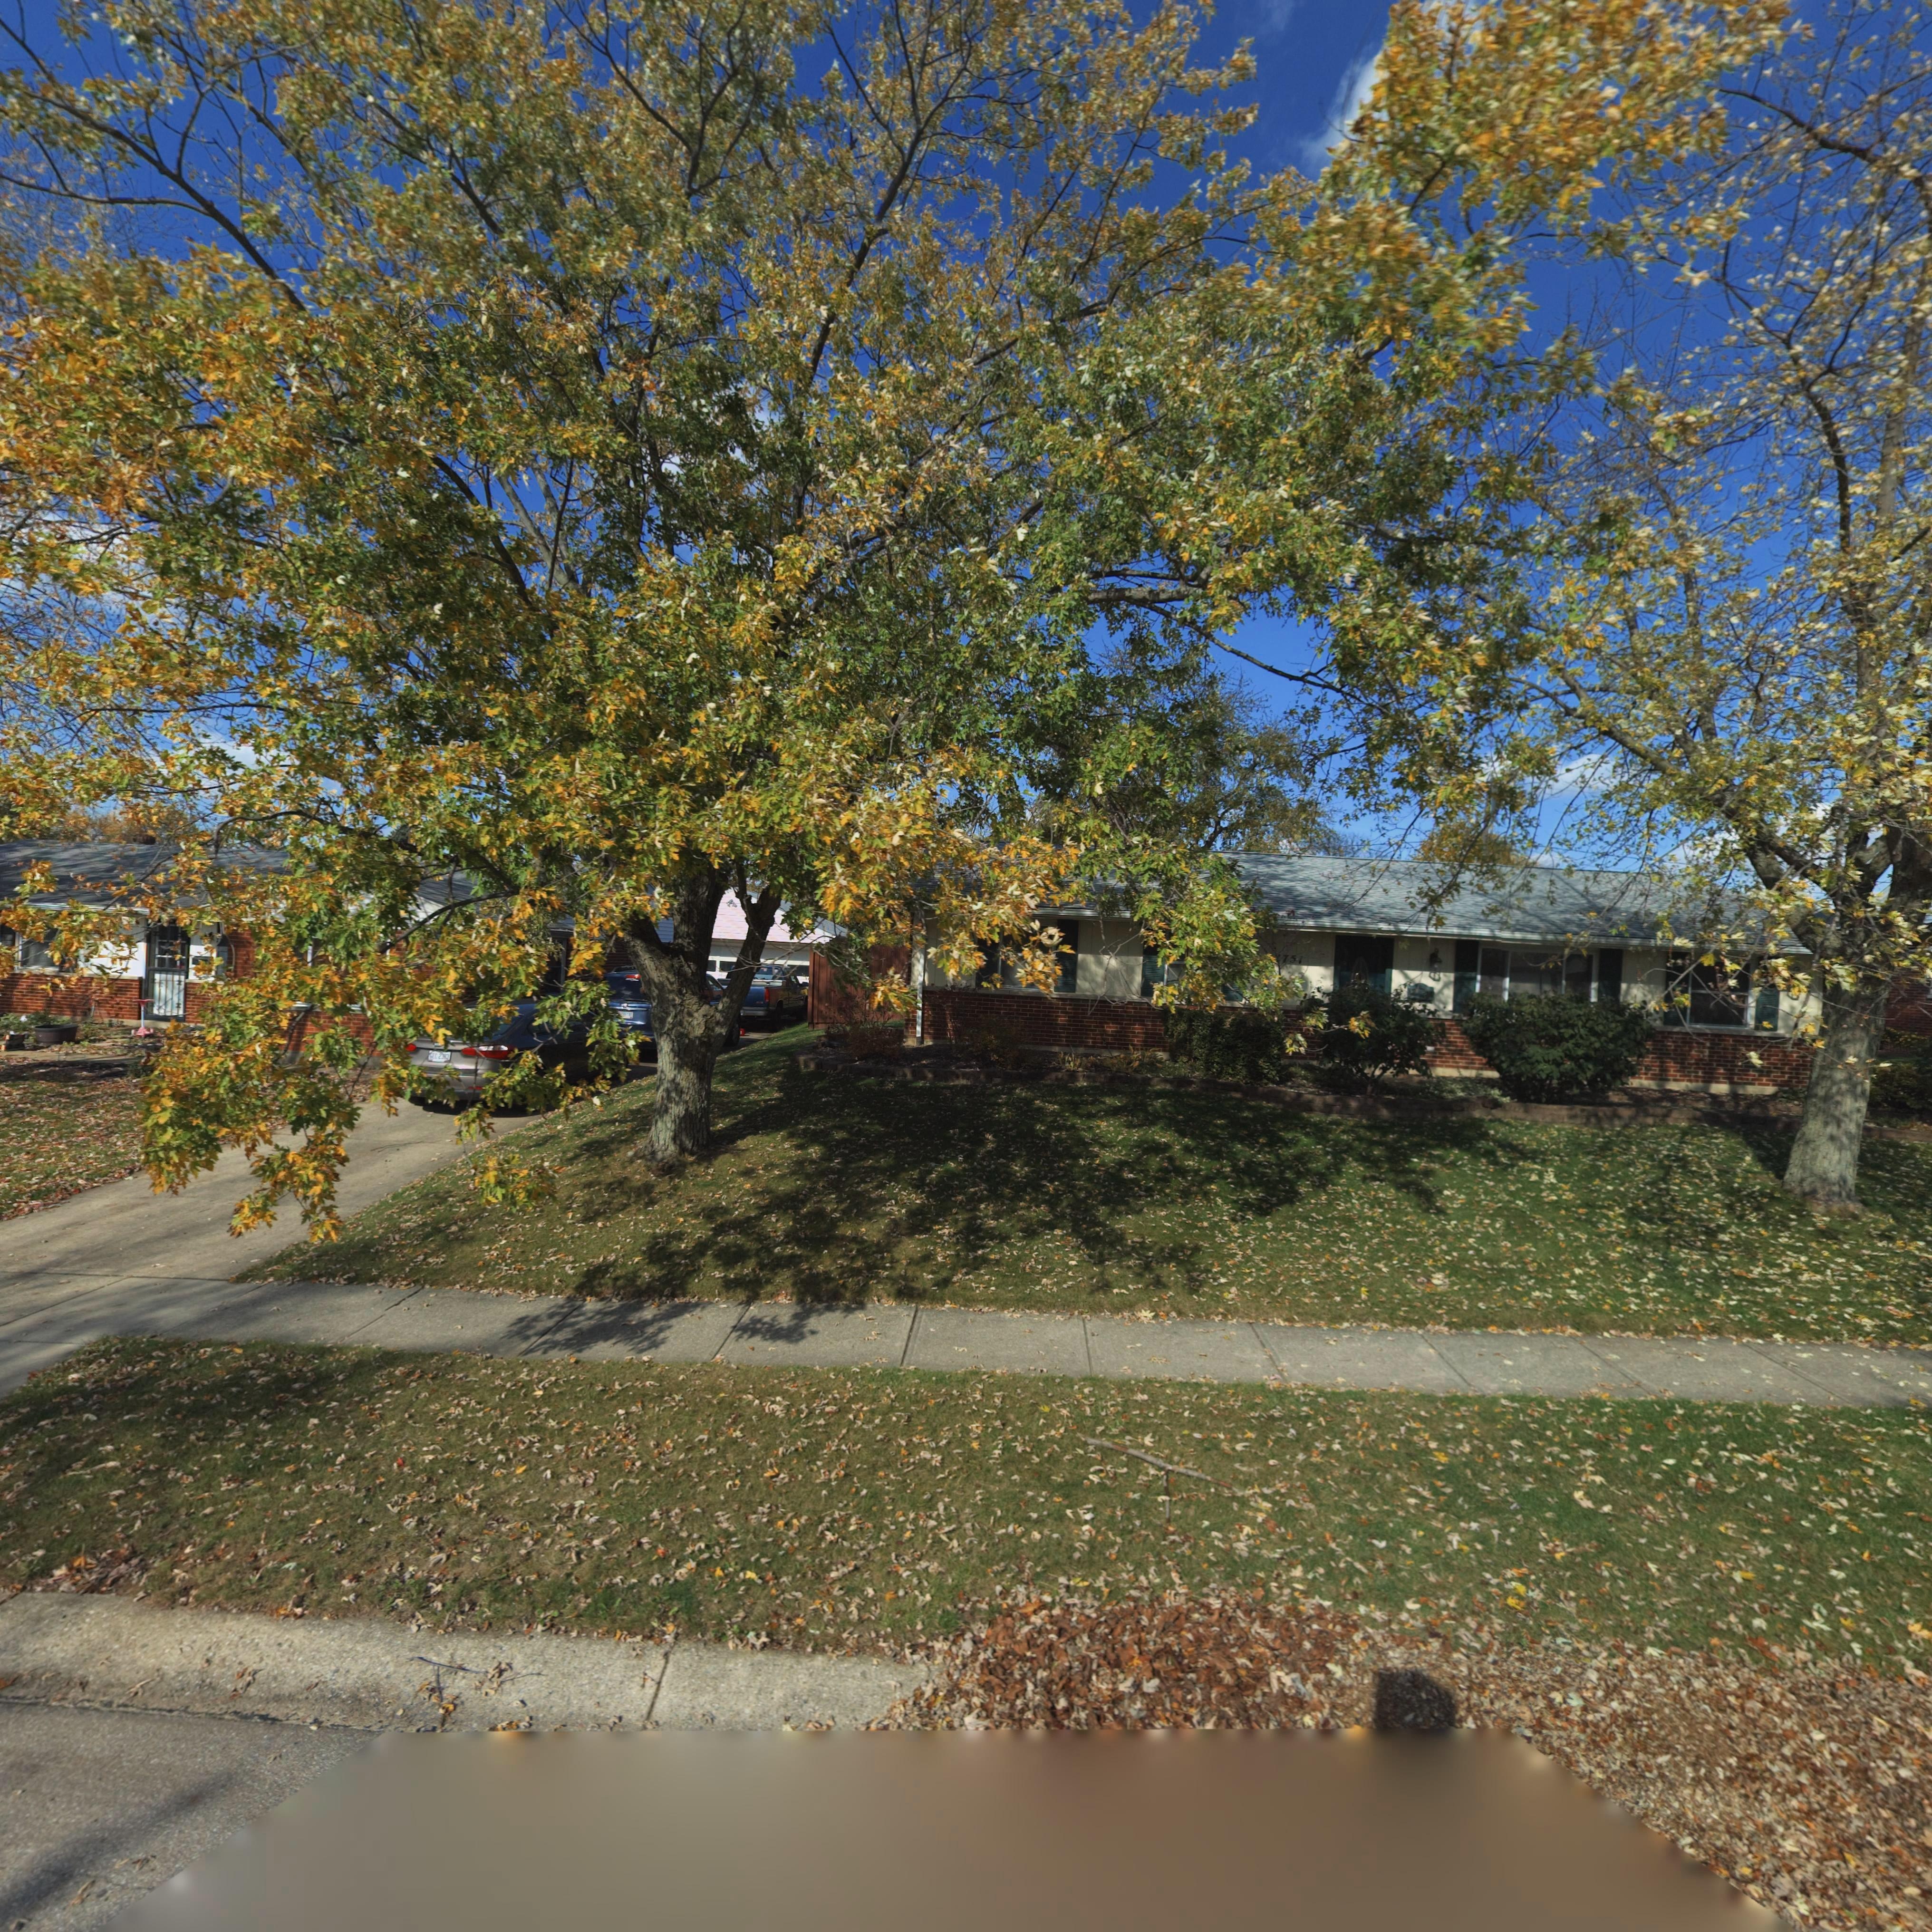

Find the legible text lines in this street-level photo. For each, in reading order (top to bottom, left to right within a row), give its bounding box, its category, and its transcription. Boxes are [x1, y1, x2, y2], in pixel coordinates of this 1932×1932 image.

[1282, 954, 1304, 965] StreetNumber: 751